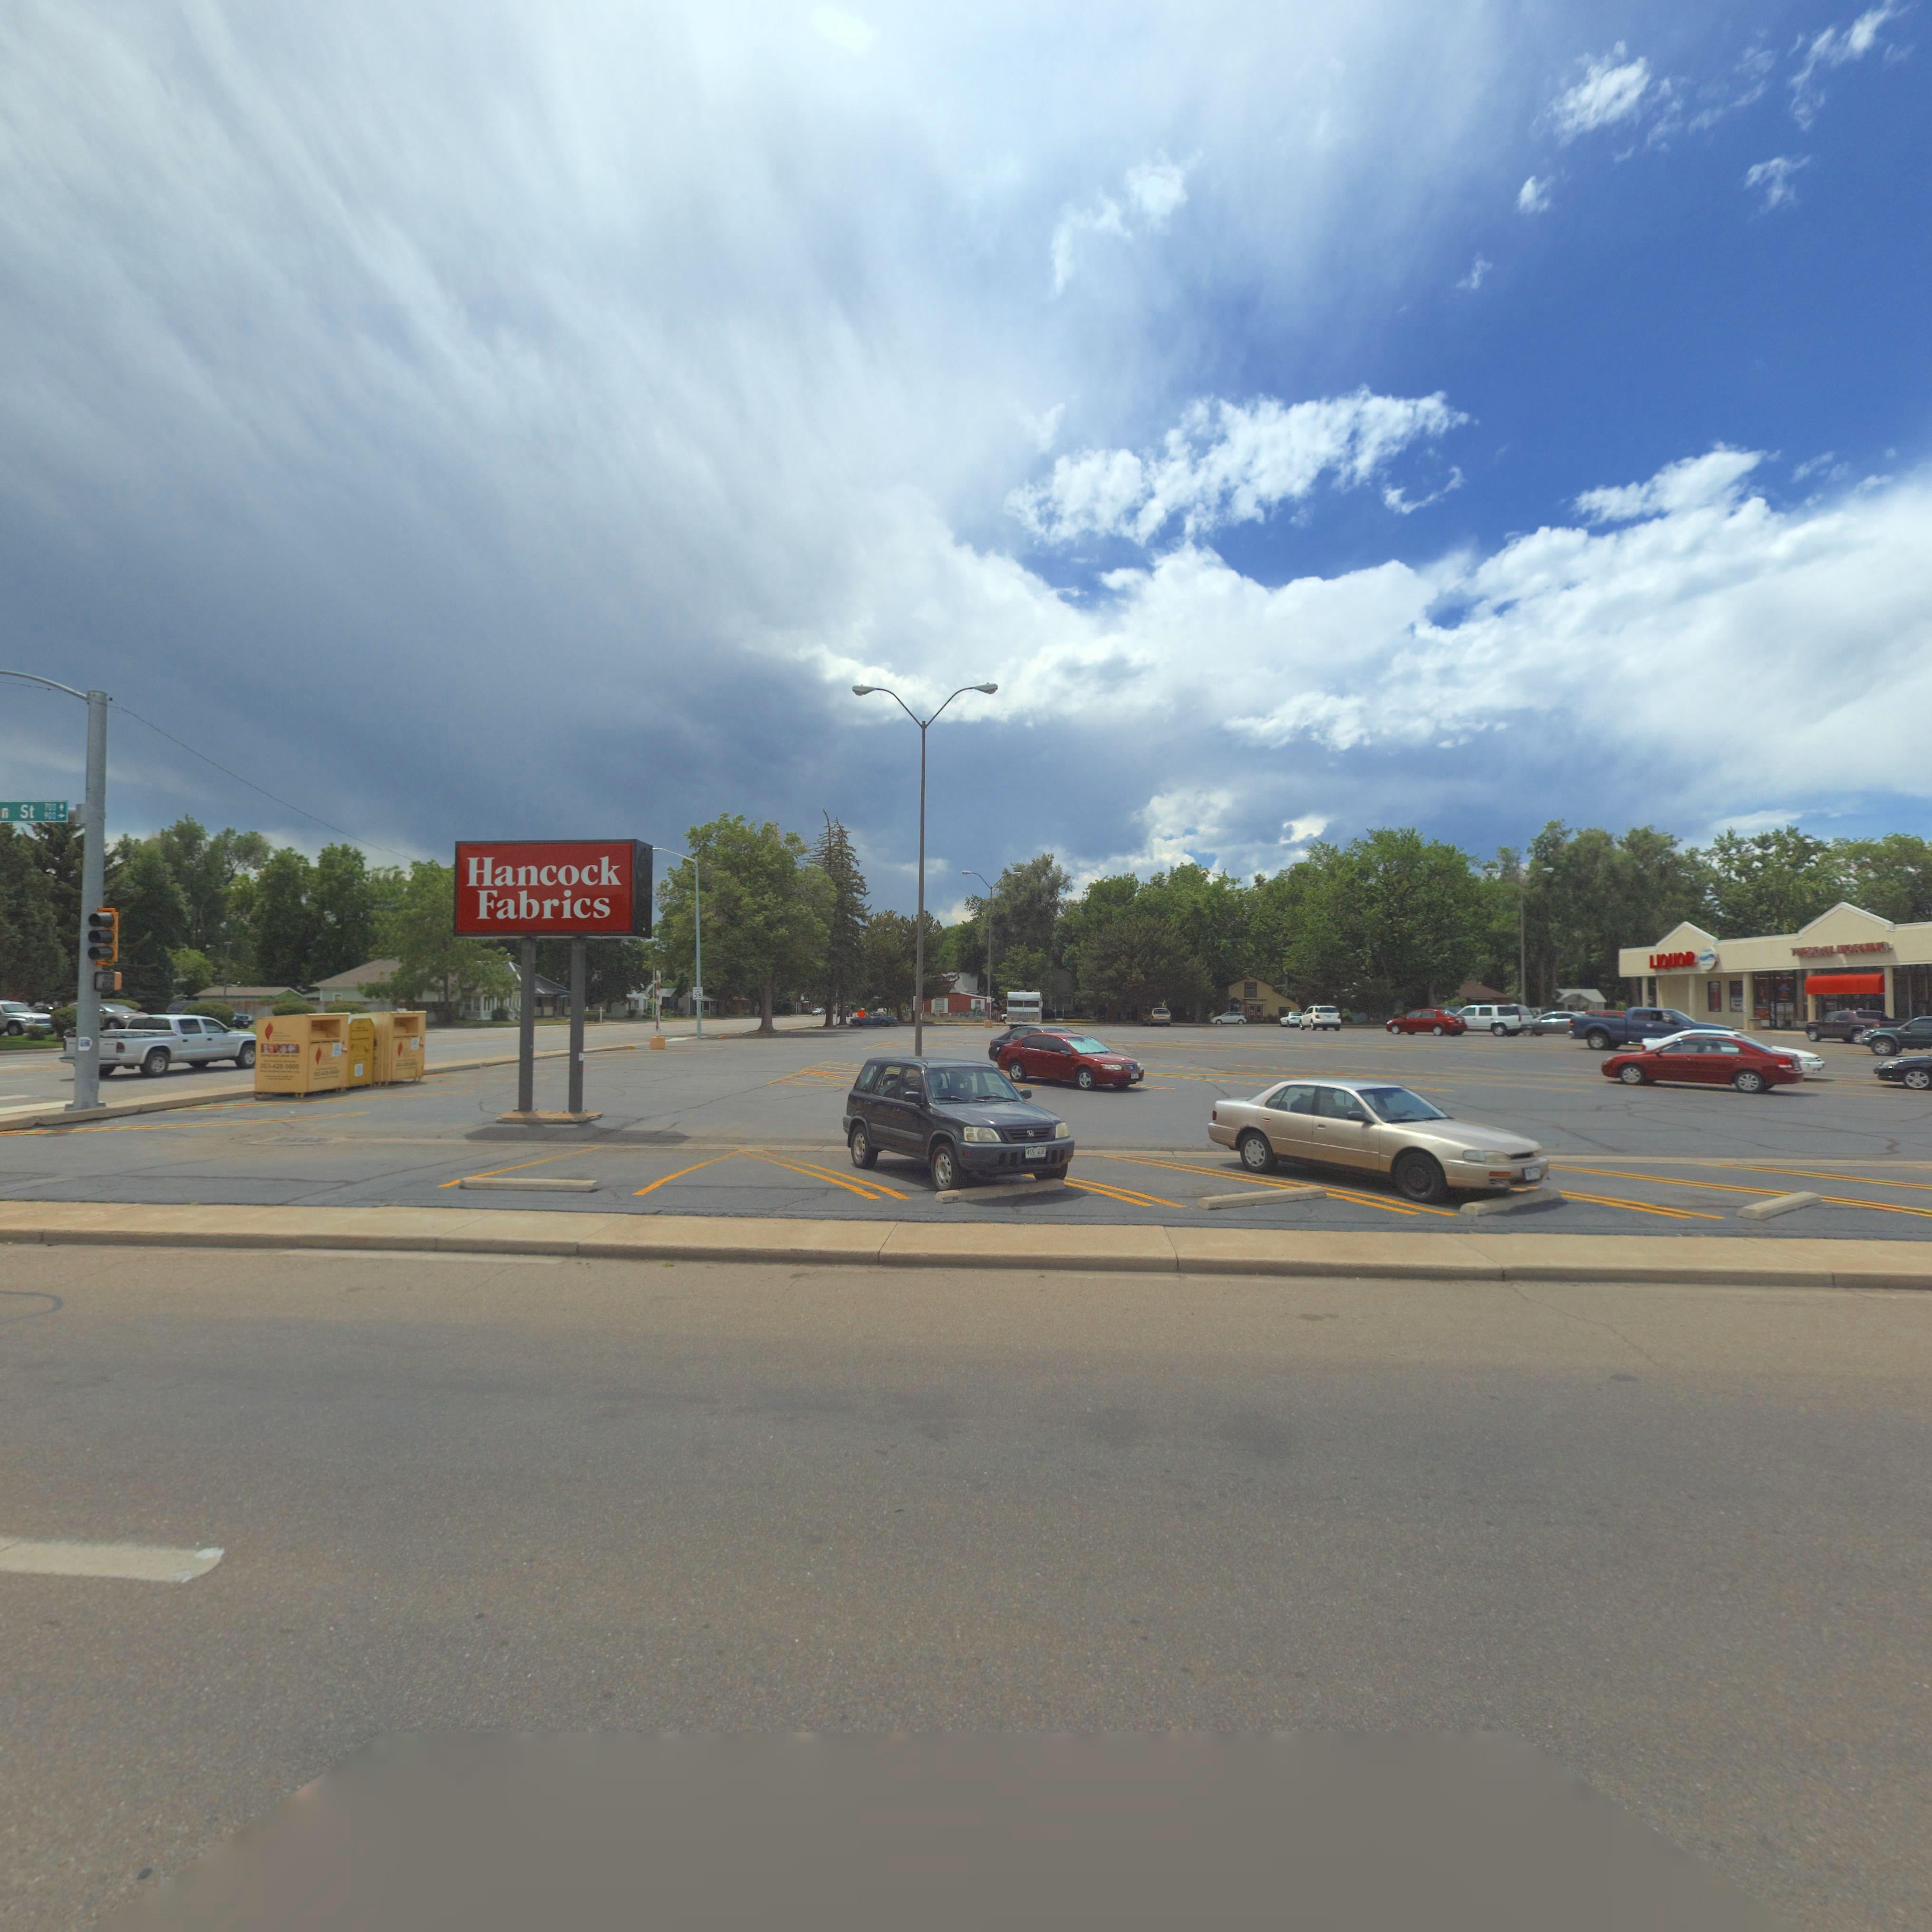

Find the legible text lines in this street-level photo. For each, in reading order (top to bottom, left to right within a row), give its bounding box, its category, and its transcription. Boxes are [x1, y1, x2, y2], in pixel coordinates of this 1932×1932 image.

[2, 804, 34, 818] StreetName: n St
[44, 803, 56, 811] StreetNumberRange: 700
[43, 812, 65, 819] StreetNumberRange: 900 ->
[466, 856, 622, 886] BusinessName: Hancock
[476, 889, 609, 918] BusinessName: Fabrics